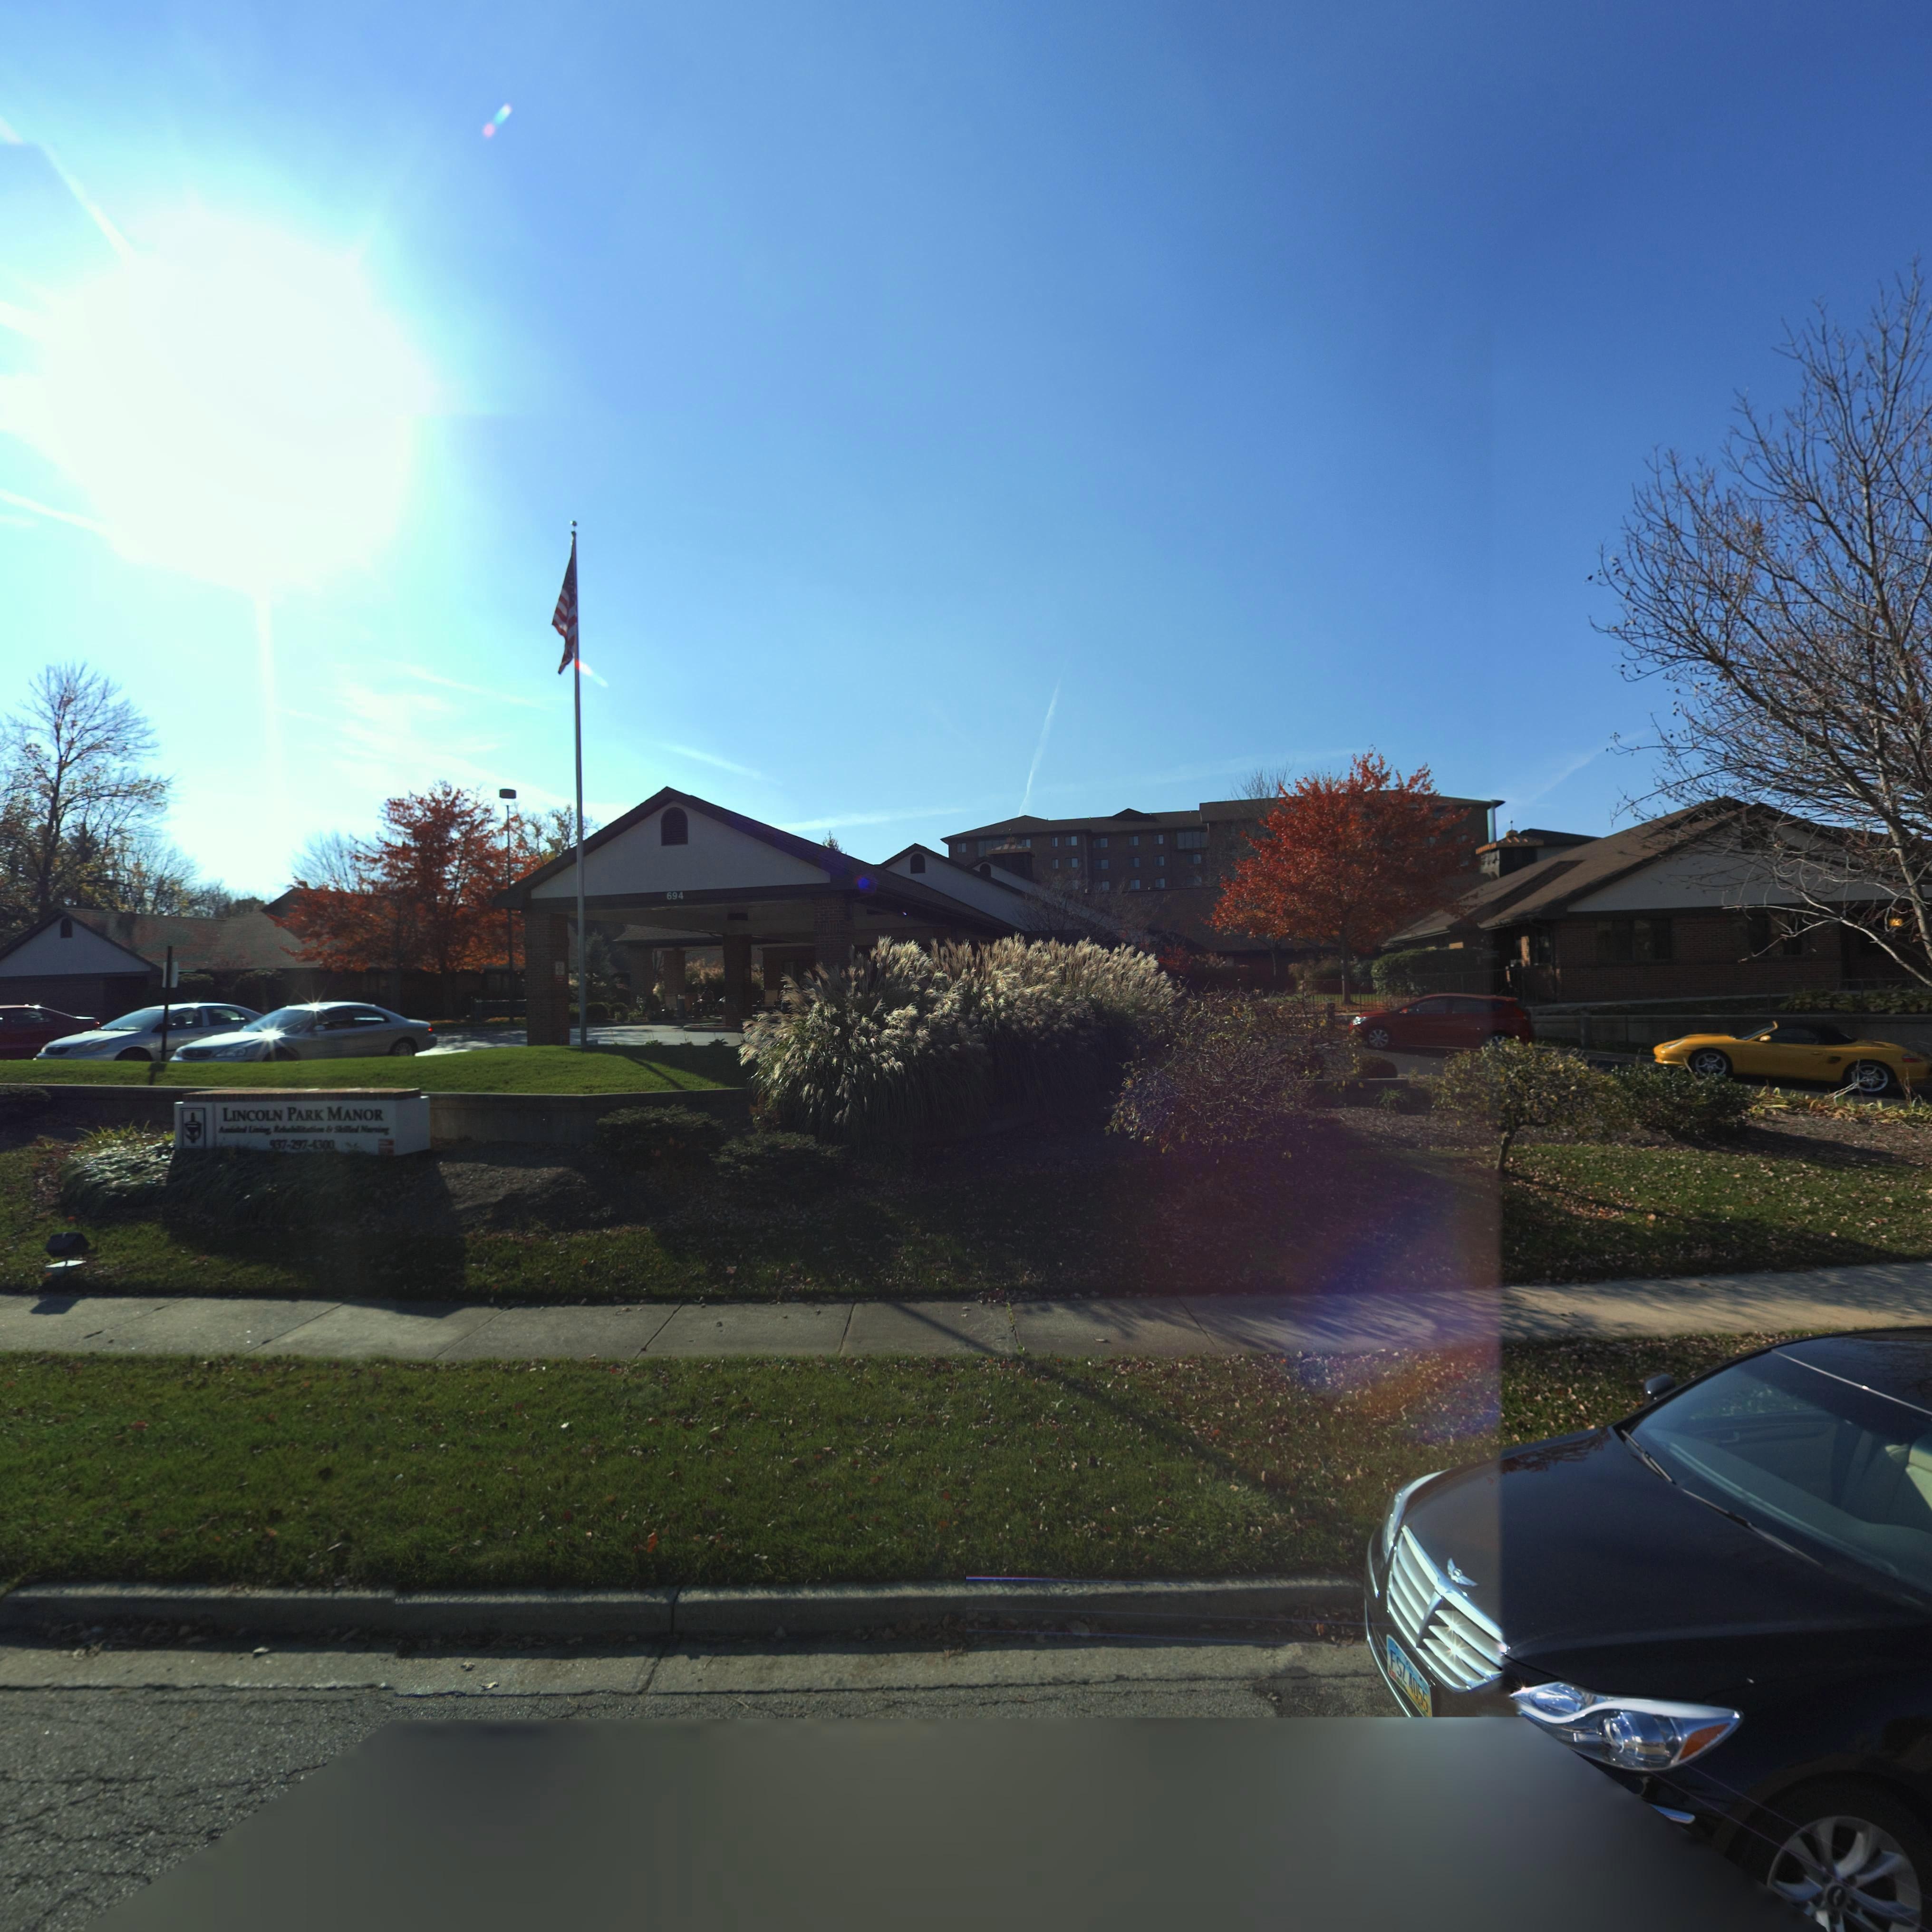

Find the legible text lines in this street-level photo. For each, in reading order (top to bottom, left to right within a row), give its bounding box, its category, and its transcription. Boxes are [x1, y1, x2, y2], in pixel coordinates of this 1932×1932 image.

[666, 891, 684, 900] StreetNumber: 694
[221, 1105, 385, 1122] BusinessName: LINCOLN PARK MANOR